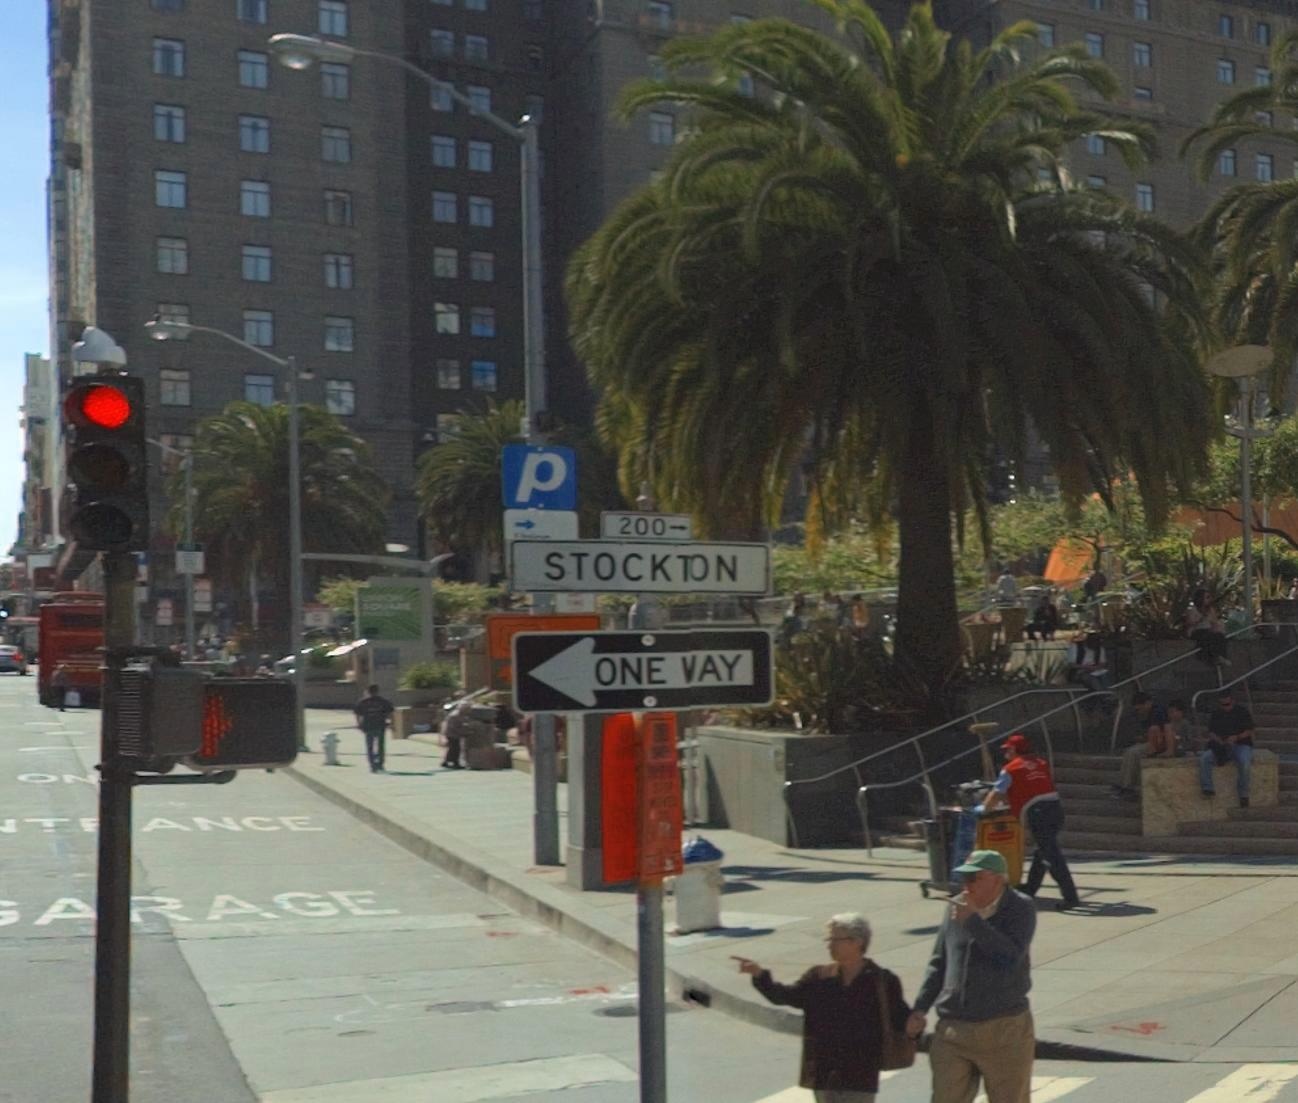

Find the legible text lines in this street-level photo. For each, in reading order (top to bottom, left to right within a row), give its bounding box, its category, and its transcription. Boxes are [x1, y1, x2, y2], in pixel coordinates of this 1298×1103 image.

[510, 447, 570, 505] None: P
[617, 515, 691, 539] StreetNumberRange: 200->
[541, 548, 741, 587] StreetName: STOCK**N
[590, 650, 747, 690] None: ONE *AY
[13, 769, 99, 787] None: ON
[18, 815, 73, 836] None: T
[136, 812, 329, 837] None: ANCE
[26, 894, 103, 927] None: A
[199, 885, 407, 928] None: AGE